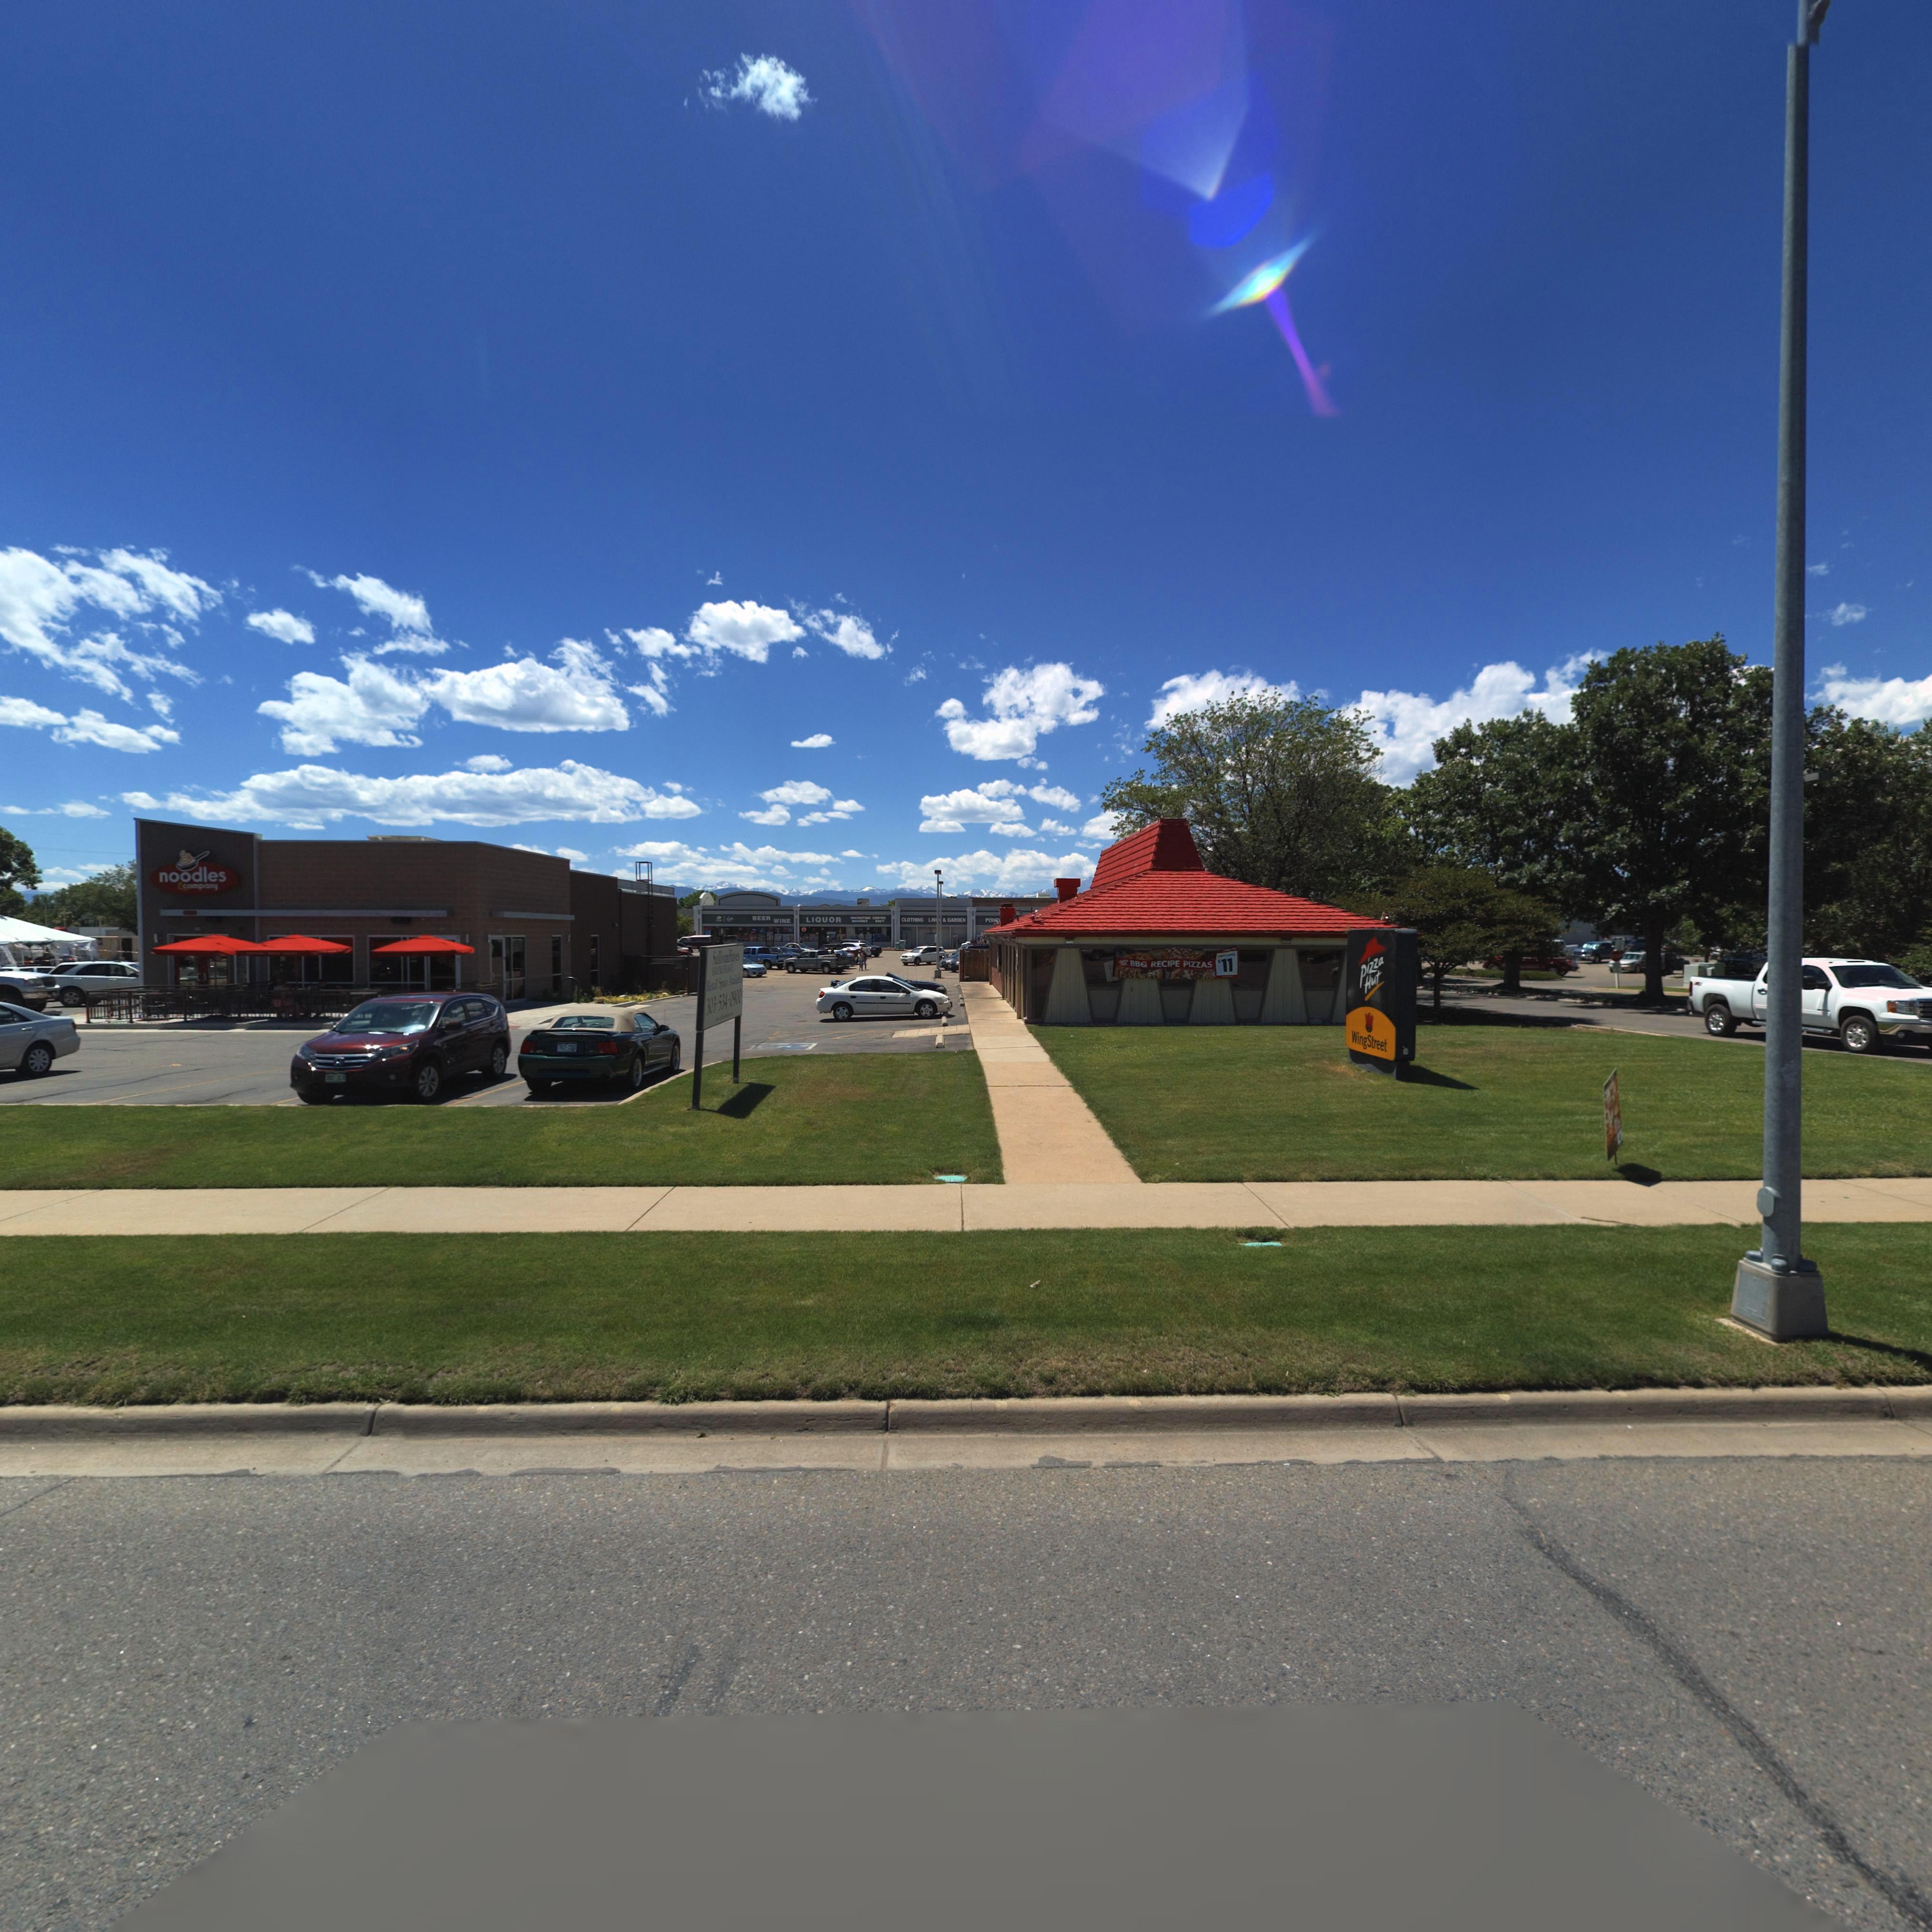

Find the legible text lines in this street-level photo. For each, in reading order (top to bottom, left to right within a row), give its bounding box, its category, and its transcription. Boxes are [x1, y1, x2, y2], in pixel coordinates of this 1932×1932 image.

[158, 866, 227, 883] BusinessName: nodles
[182, 883, 218, 891] BusinessName: co*p**y
[1359, 956, 1384, 988] BusinessName: Pizza
[1364, 969, 1381, 994] BusinessName: Hut
[1351, 1029, 1387, 1052] BusinessName: WingStreet